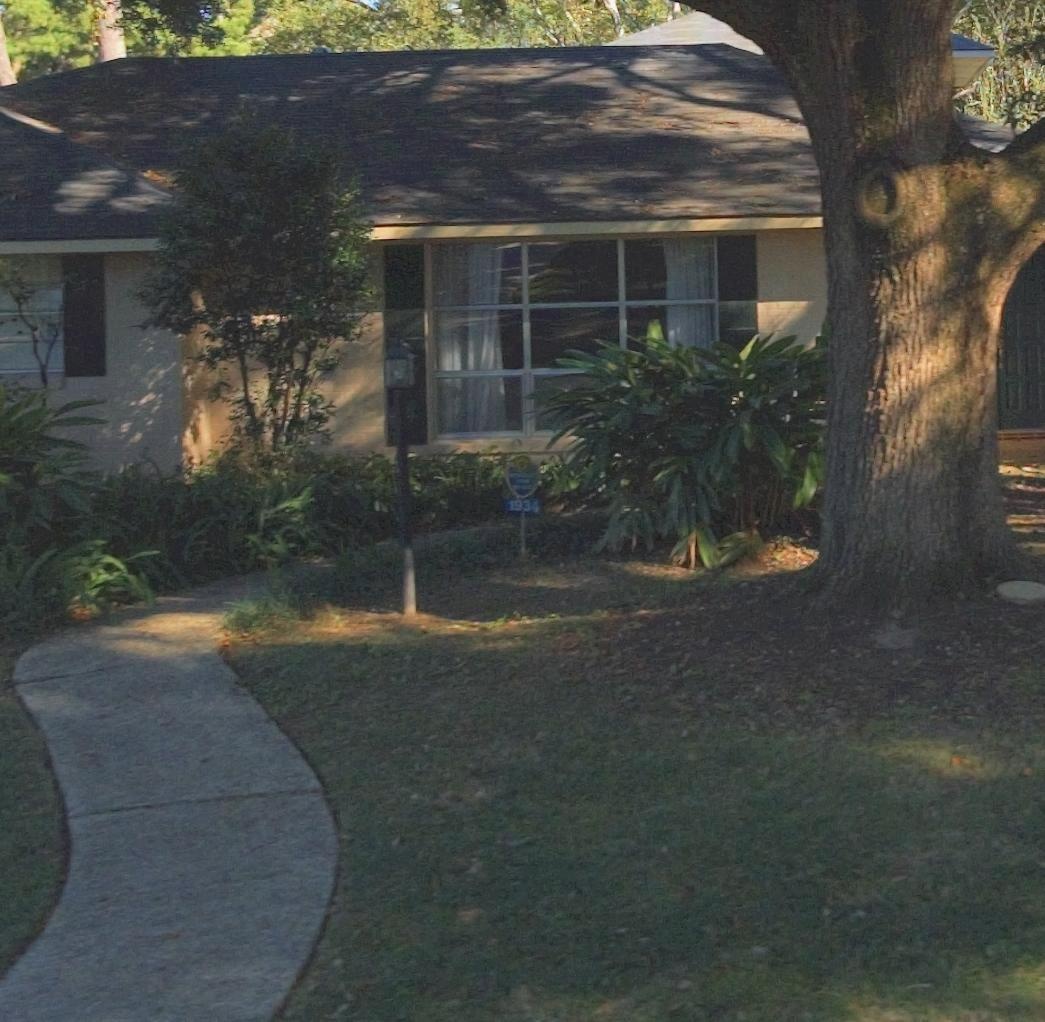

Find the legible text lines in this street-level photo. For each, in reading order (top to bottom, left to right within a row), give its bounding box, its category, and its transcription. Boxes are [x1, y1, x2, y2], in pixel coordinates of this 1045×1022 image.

[505, 498, 541, 515] StreetNumber: 1934